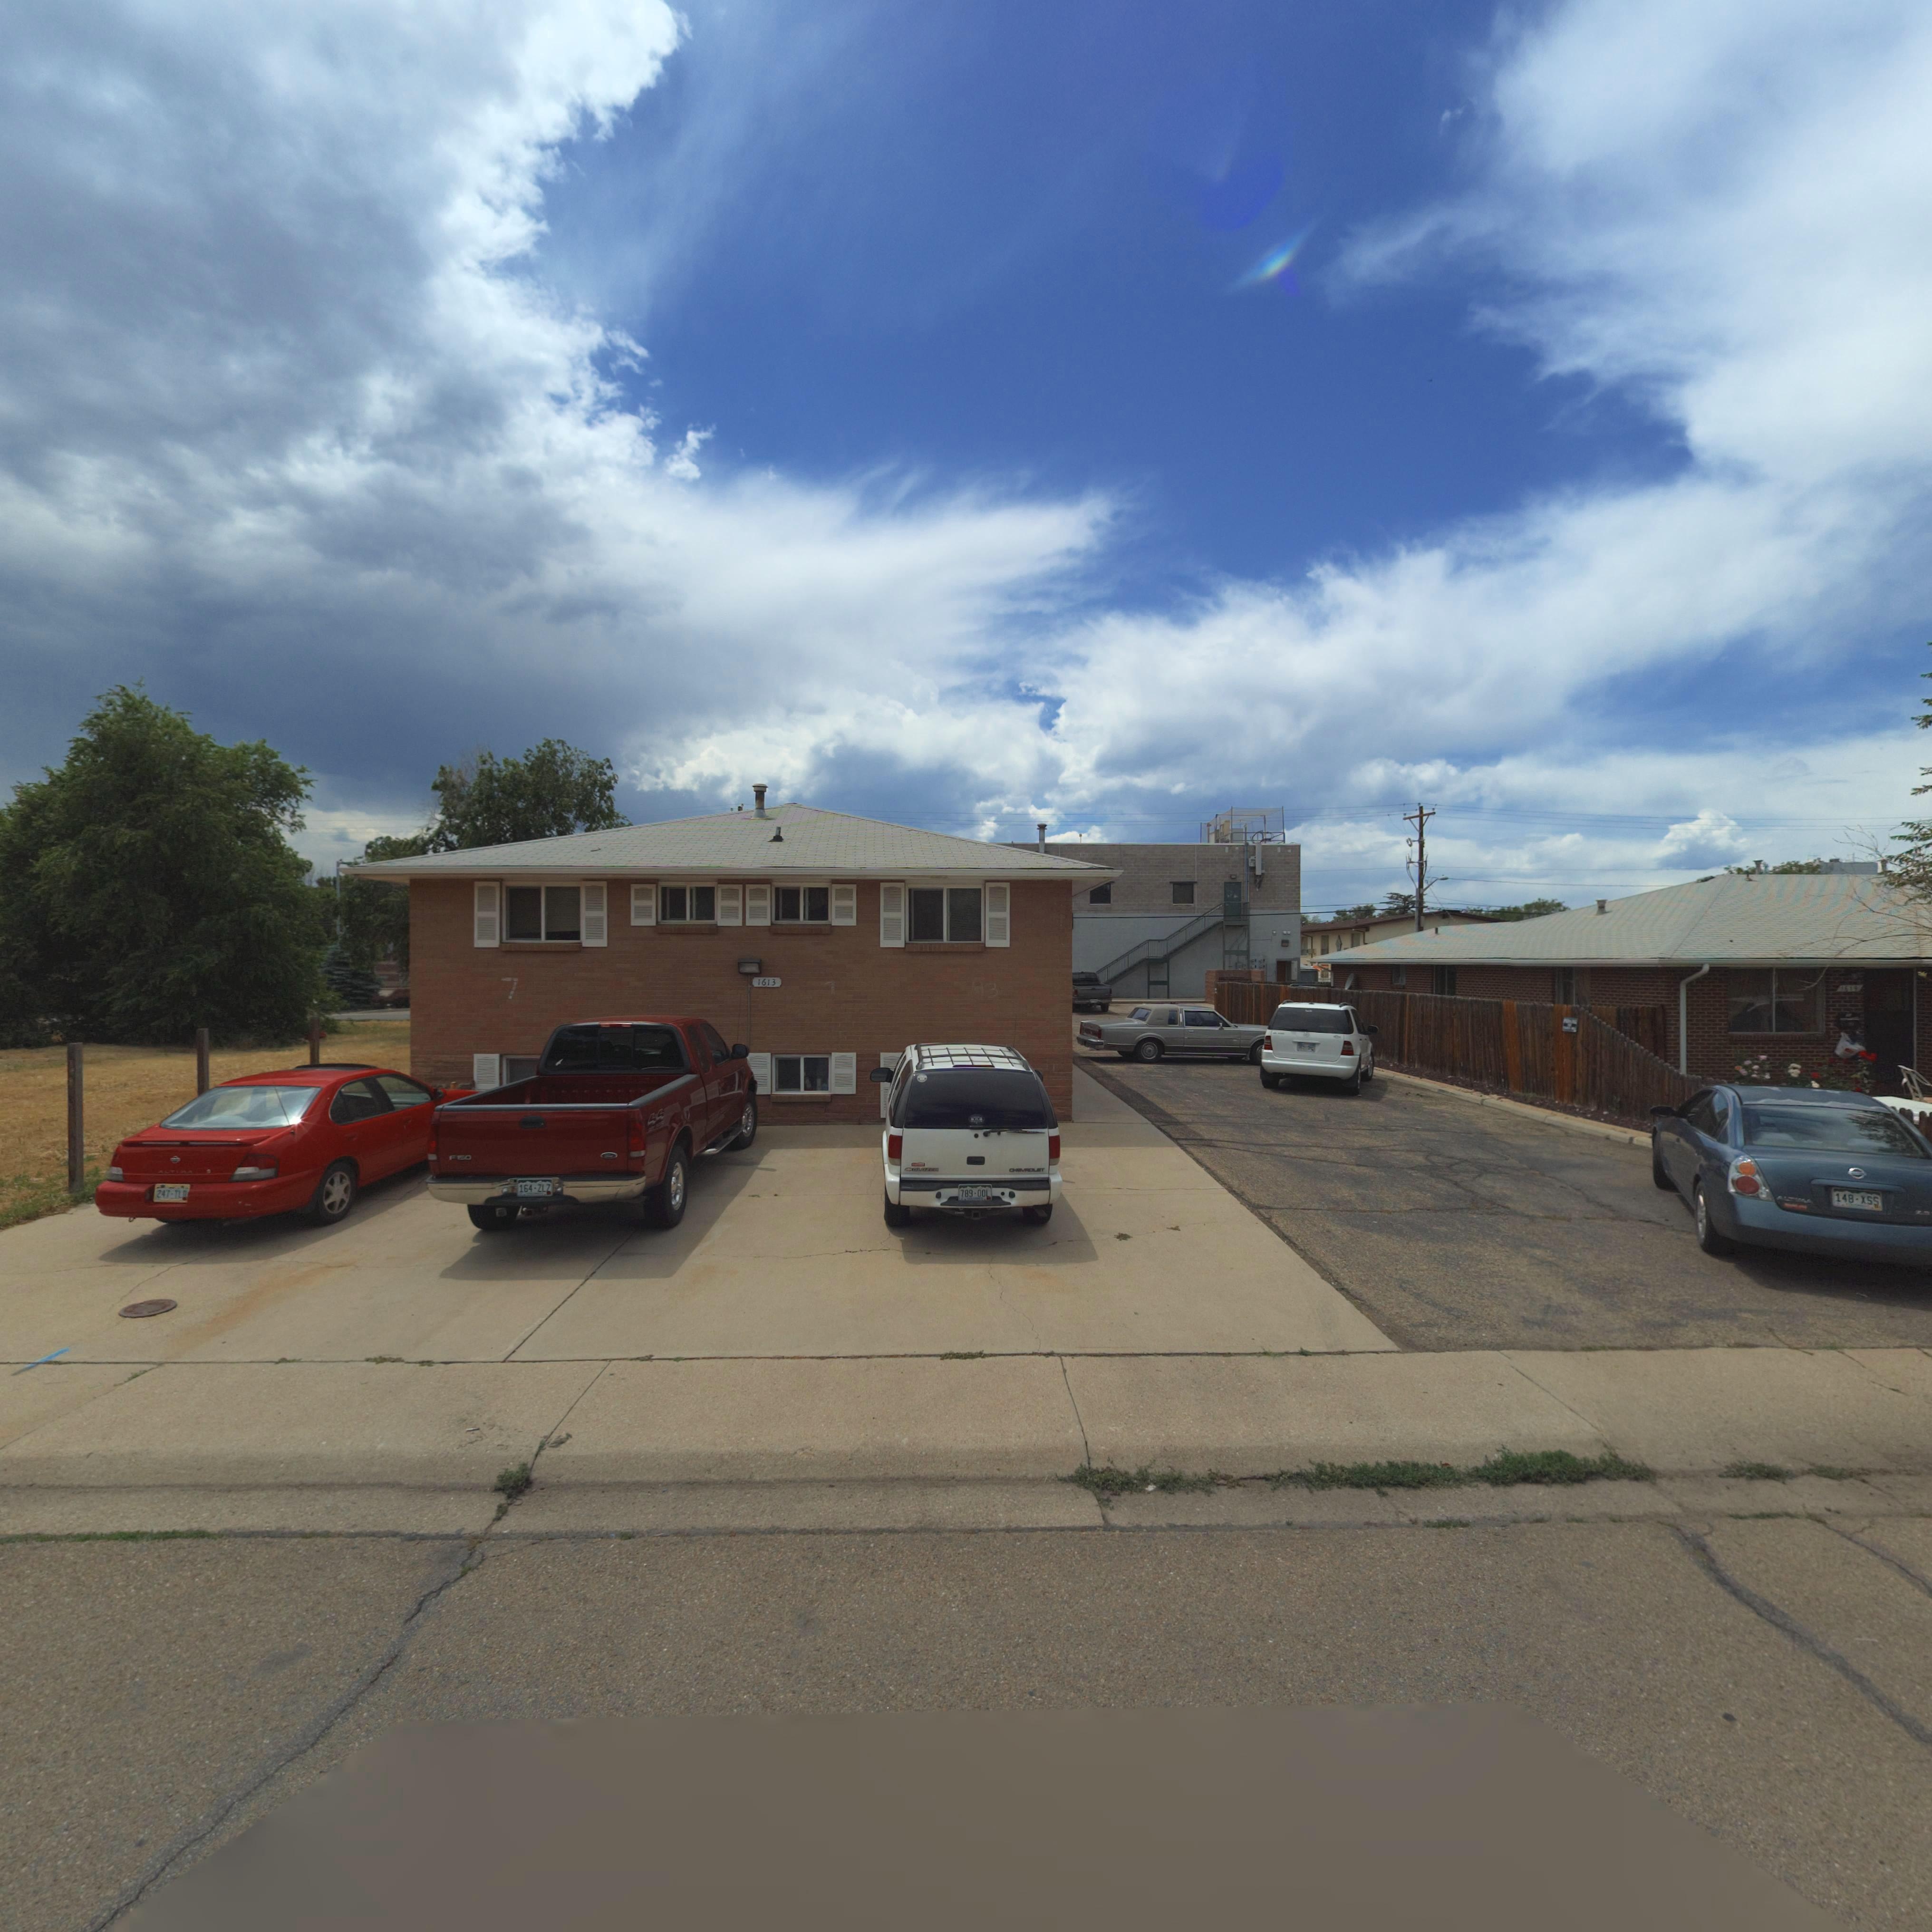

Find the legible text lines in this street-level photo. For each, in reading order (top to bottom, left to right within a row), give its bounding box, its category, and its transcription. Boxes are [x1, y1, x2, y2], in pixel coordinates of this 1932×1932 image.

[757, 978, 776, 986] StreetNumber: 1613
[1839, 985, 1858, 992] StreetNumber: 1619